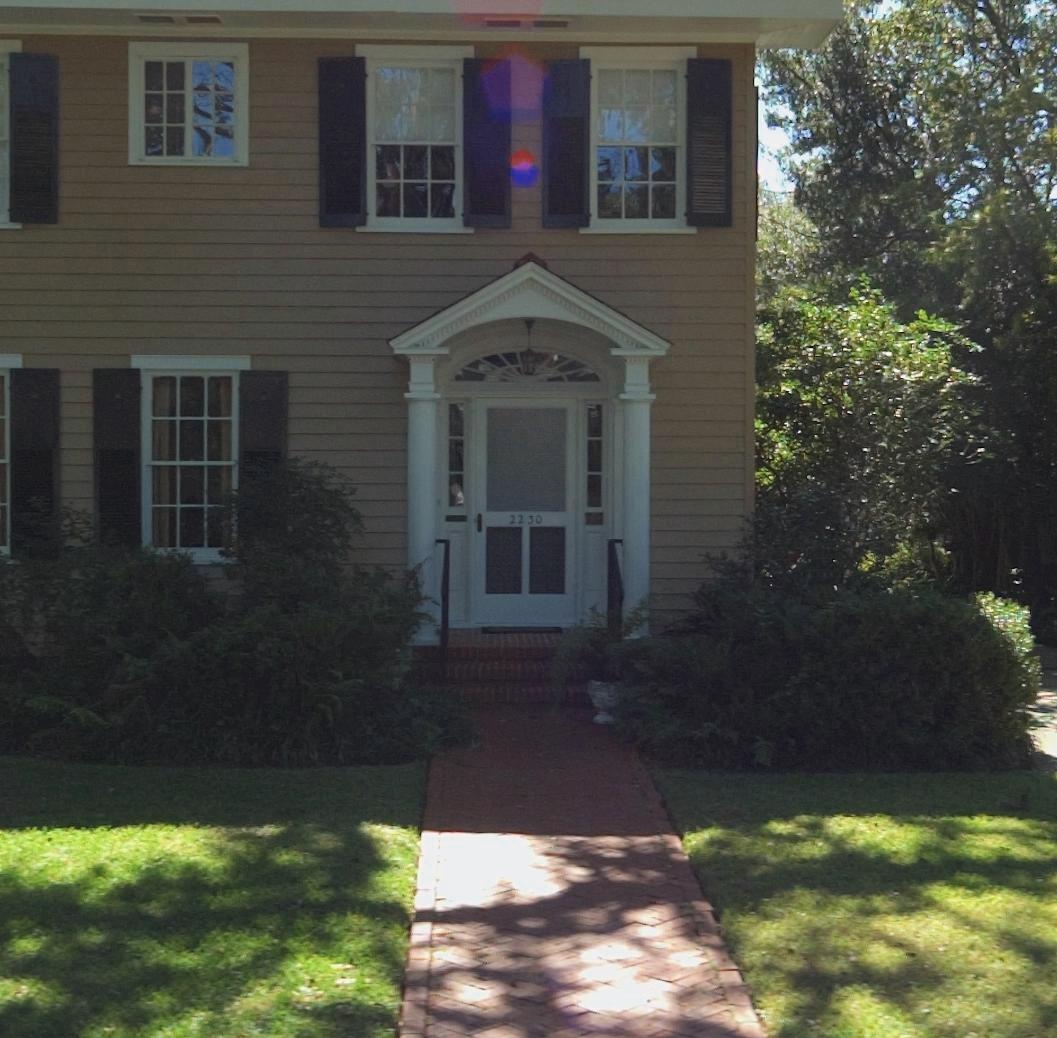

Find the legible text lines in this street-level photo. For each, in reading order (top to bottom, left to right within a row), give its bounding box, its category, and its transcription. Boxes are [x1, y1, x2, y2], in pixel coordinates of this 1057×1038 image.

[506, 513, 545, 527] StreetNumber: 2230